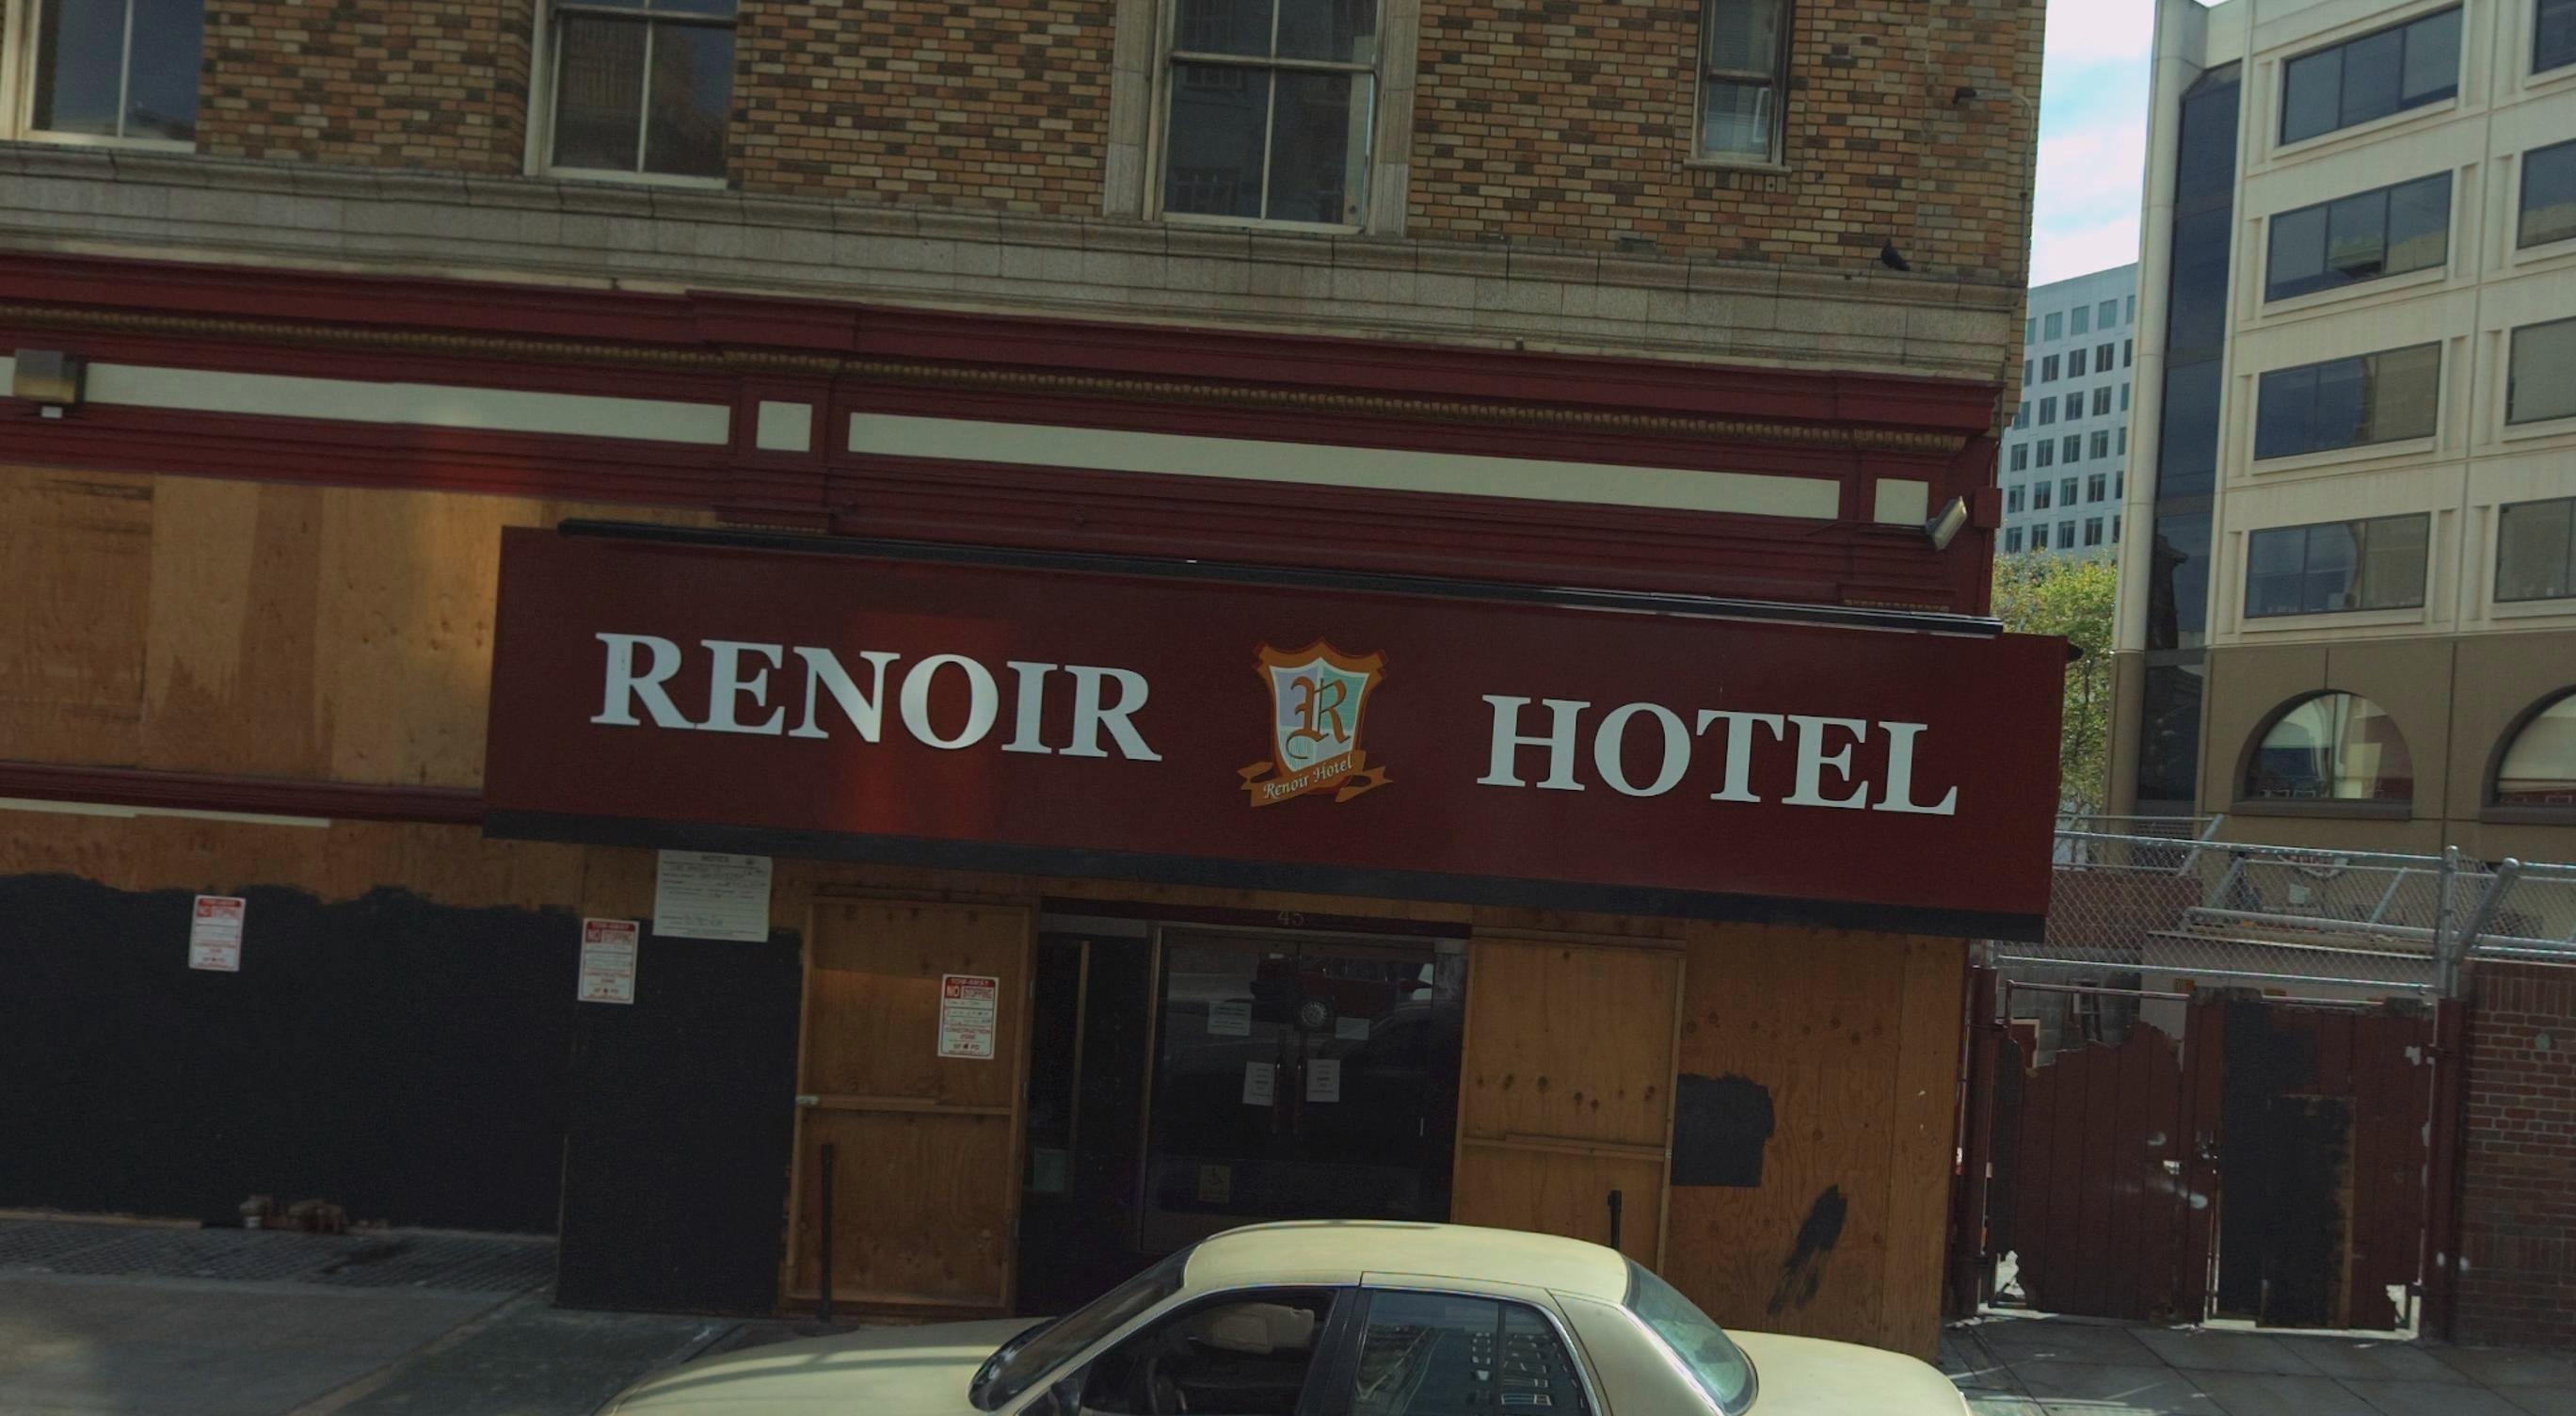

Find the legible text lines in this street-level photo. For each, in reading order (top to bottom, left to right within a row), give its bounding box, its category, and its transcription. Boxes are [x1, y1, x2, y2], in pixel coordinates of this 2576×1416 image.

[583, 625, 1171, 768] BusinessName: RENOIR
[1286, 673, 1356, 747] None: R
[1261, 748, 1356, 802] BusinessName: Renoir Hotel
[1471, 685, 1963, 822] BusinessName: HOTEL
[584, 926, 604, 944] None: *O
[944, 982, 995, 1001] None: NO STOPPING